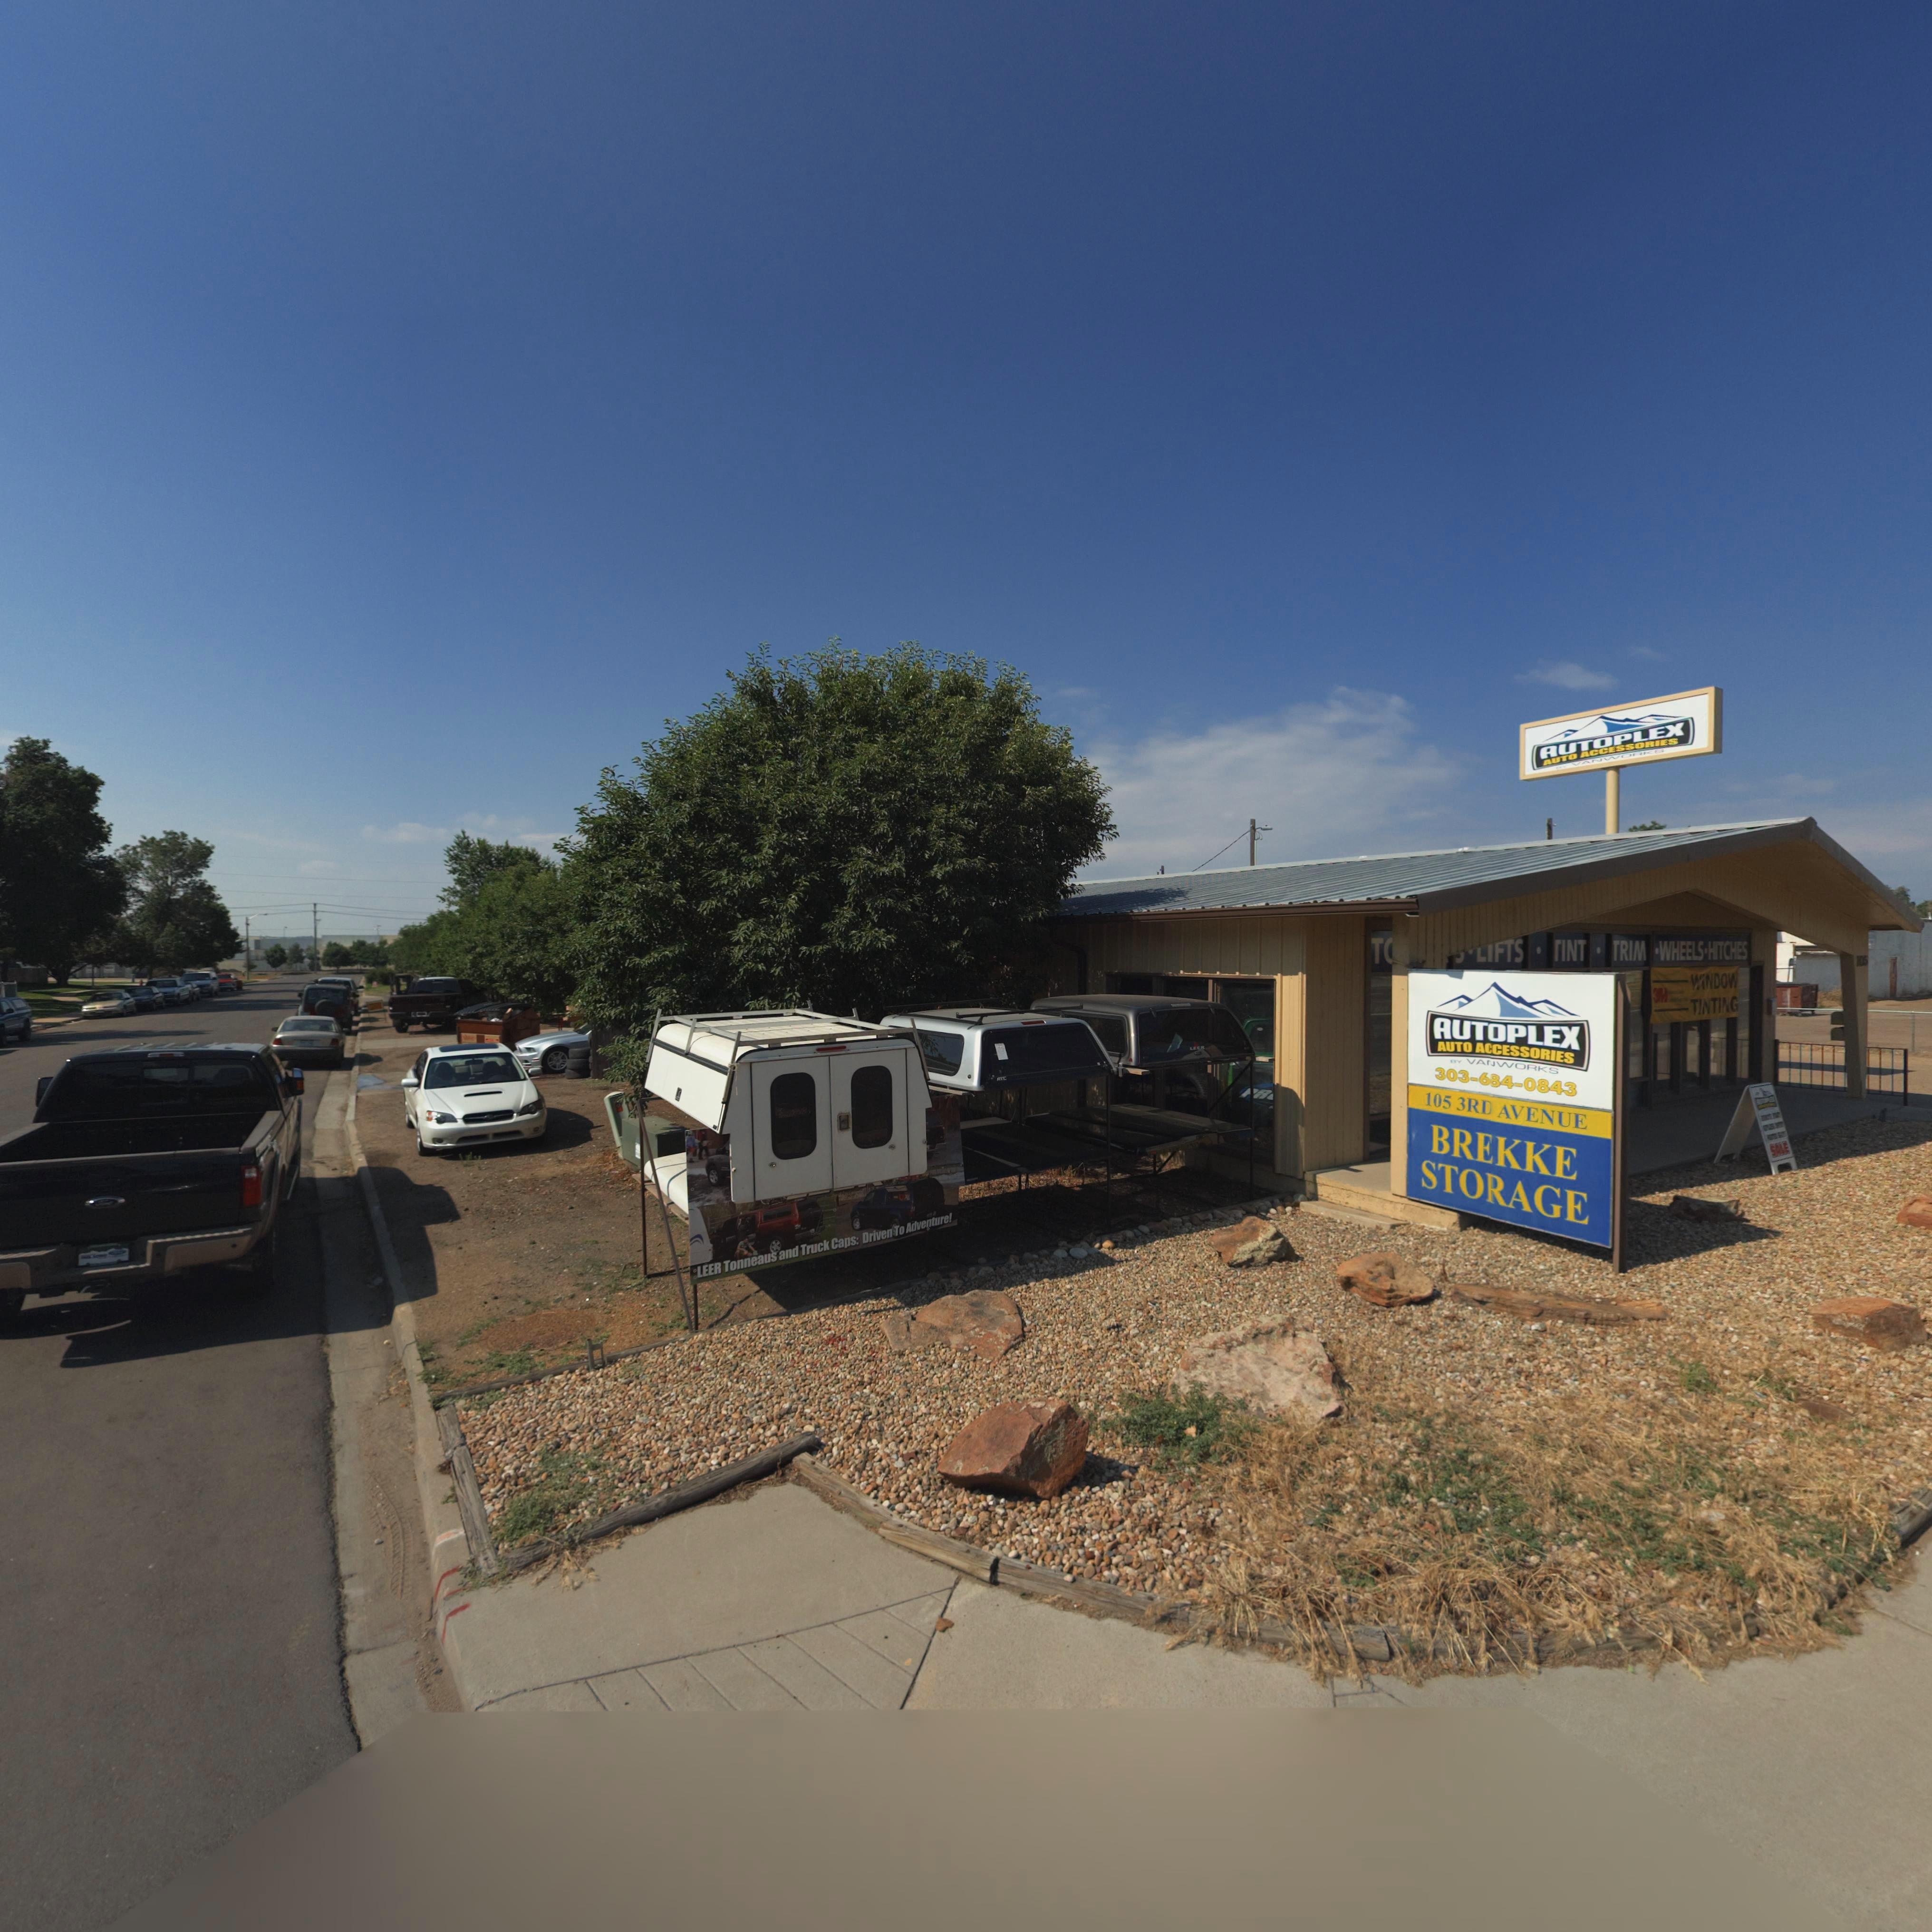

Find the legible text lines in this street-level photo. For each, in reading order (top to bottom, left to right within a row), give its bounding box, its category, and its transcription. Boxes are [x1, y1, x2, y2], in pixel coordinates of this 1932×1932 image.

[1542, 737, 1679, 767] BusinessName: AUTO ACCESSORIES
[1538, 722, 1685, 760] BusinessName: AUTOPLEX
[1431, 1015, 1582, 1052] BusinessName: AUTOPLEX
[1437, 1041, 1575, 1065] BusinessName: AUTO ACCESSORIES
[1425, 1091, 1452, 1110] StreetNumber: 105
[1456, 1095, 1588, 1130] StreetName: 3RD AVENUE
[1756, 1095, 1776, 1106] BusinessName: ****P*EX
[1430, 1123, 1578, 1181] BusinessName: BREKKE
[1419, 1159, 1590, 1227] BusinessName: STORAGE